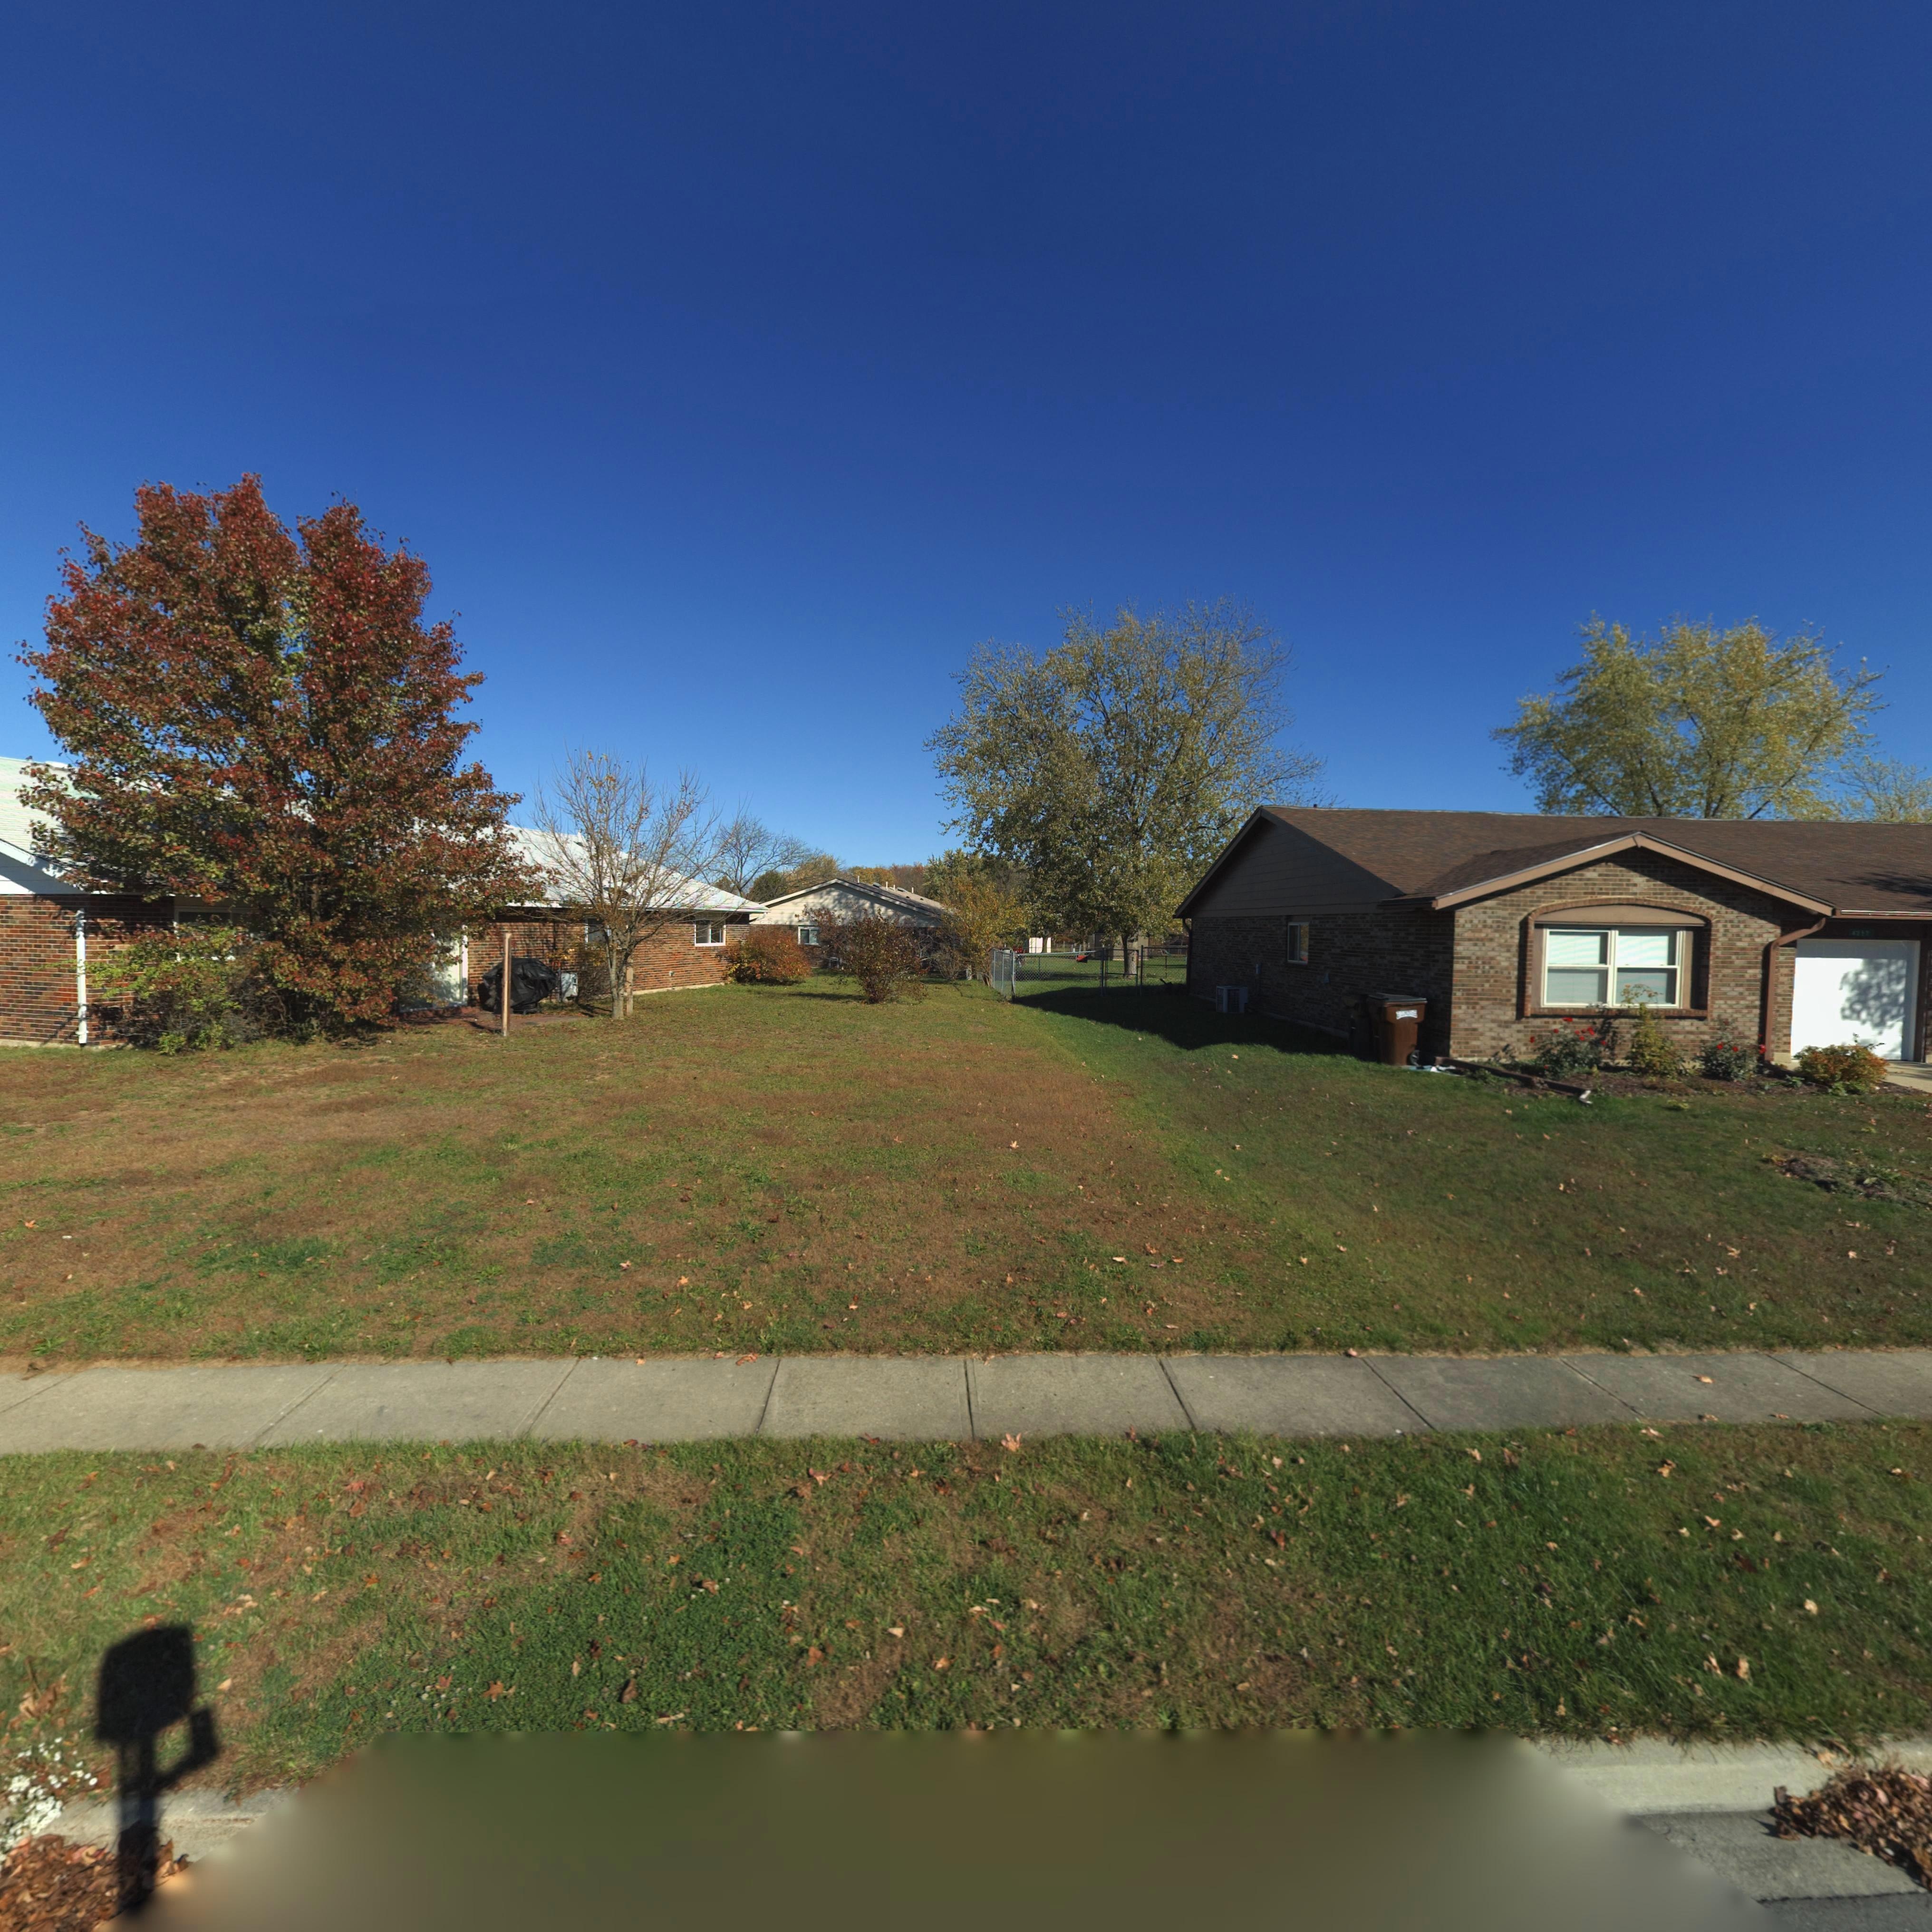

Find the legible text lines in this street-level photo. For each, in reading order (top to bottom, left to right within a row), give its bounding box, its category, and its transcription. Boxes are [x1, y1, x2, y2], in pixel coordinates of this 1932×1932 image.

[1851, 929, 1870, 937] StreetNumber: 4*57